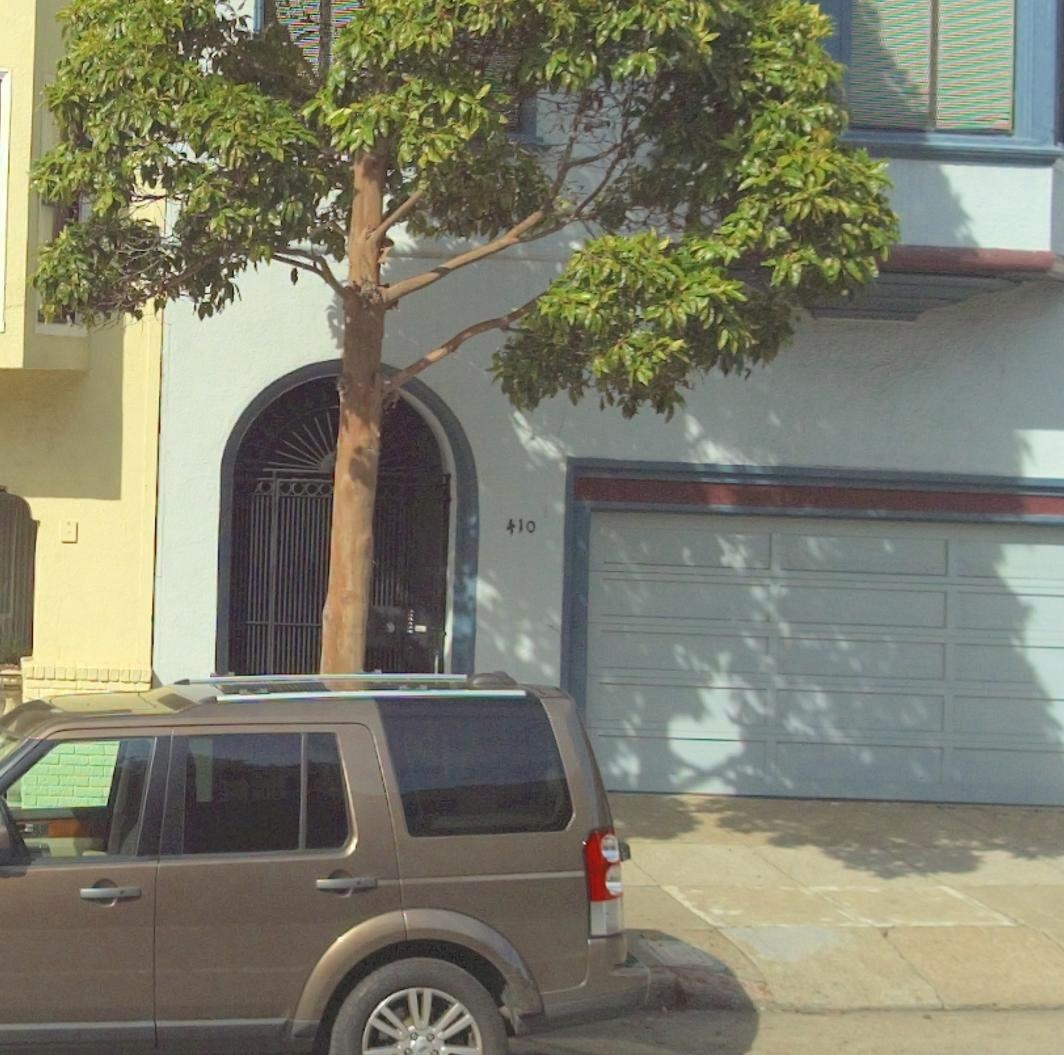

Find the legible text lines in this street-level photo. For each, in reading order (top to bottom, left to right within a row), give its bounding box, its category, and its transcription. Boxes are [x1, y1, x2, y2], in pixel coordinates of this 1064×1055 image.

[505, 516, 537, 537] StreetNumber: 410